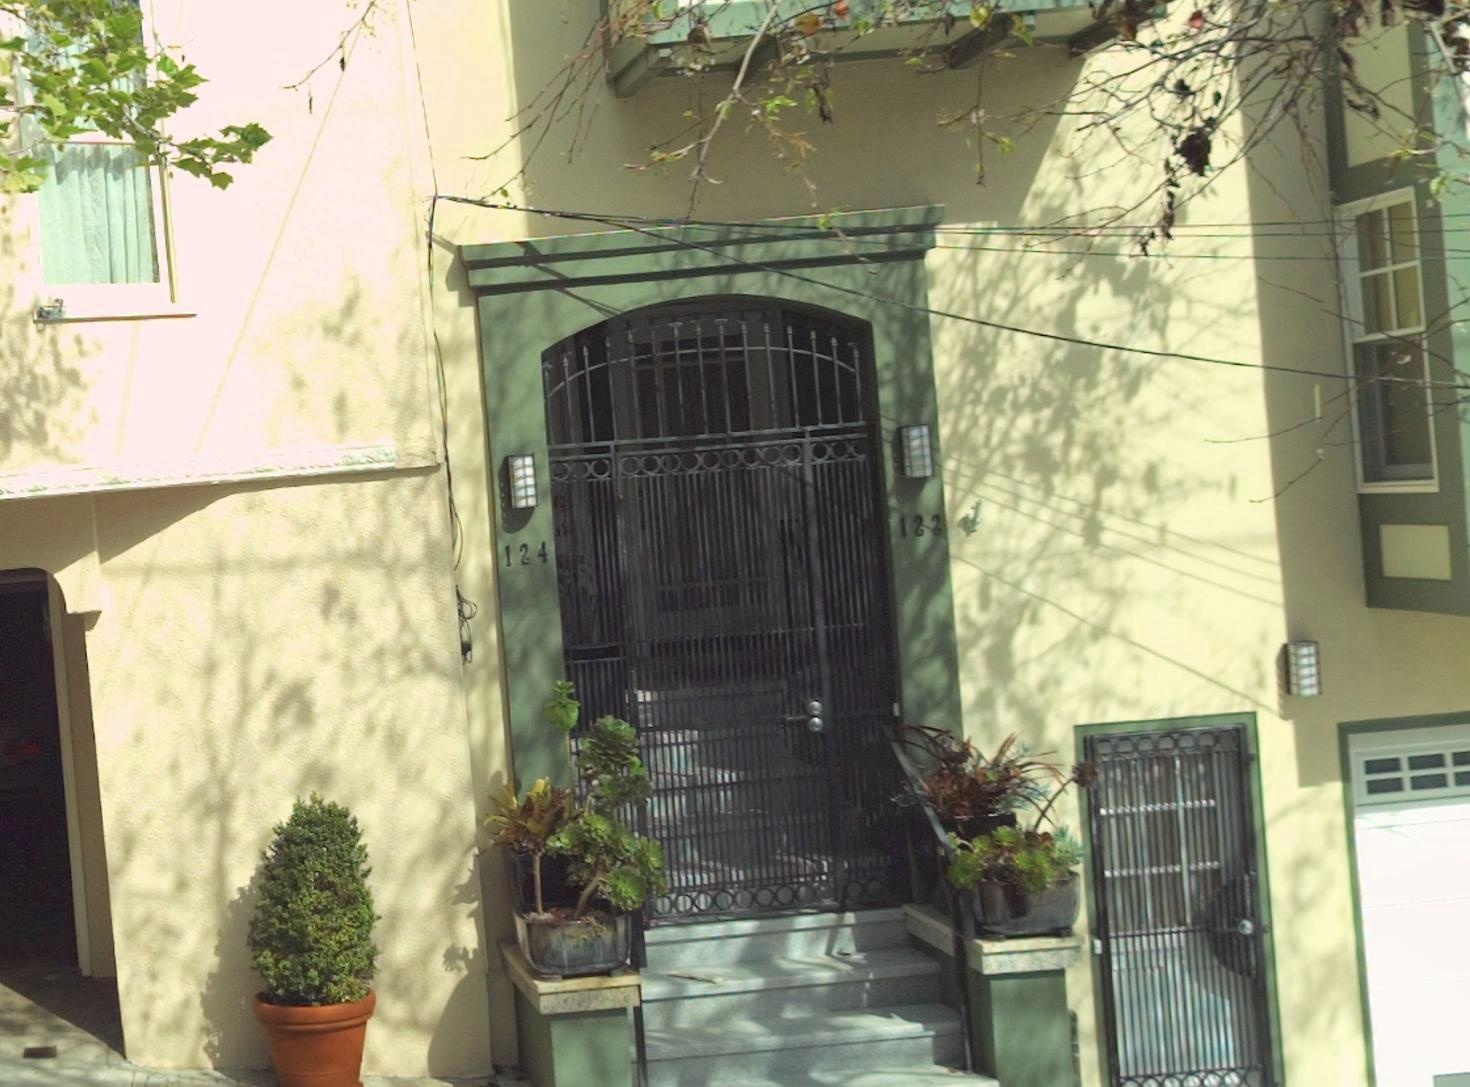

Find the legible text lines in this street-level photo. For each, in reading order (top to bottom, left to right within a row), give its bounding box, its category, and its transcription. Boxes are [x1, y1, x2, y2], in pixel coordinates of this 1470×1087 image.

[896, 513, 943, 540] StreetNumber: 122
[500, 539, 552, 570] StreetNumber: 124